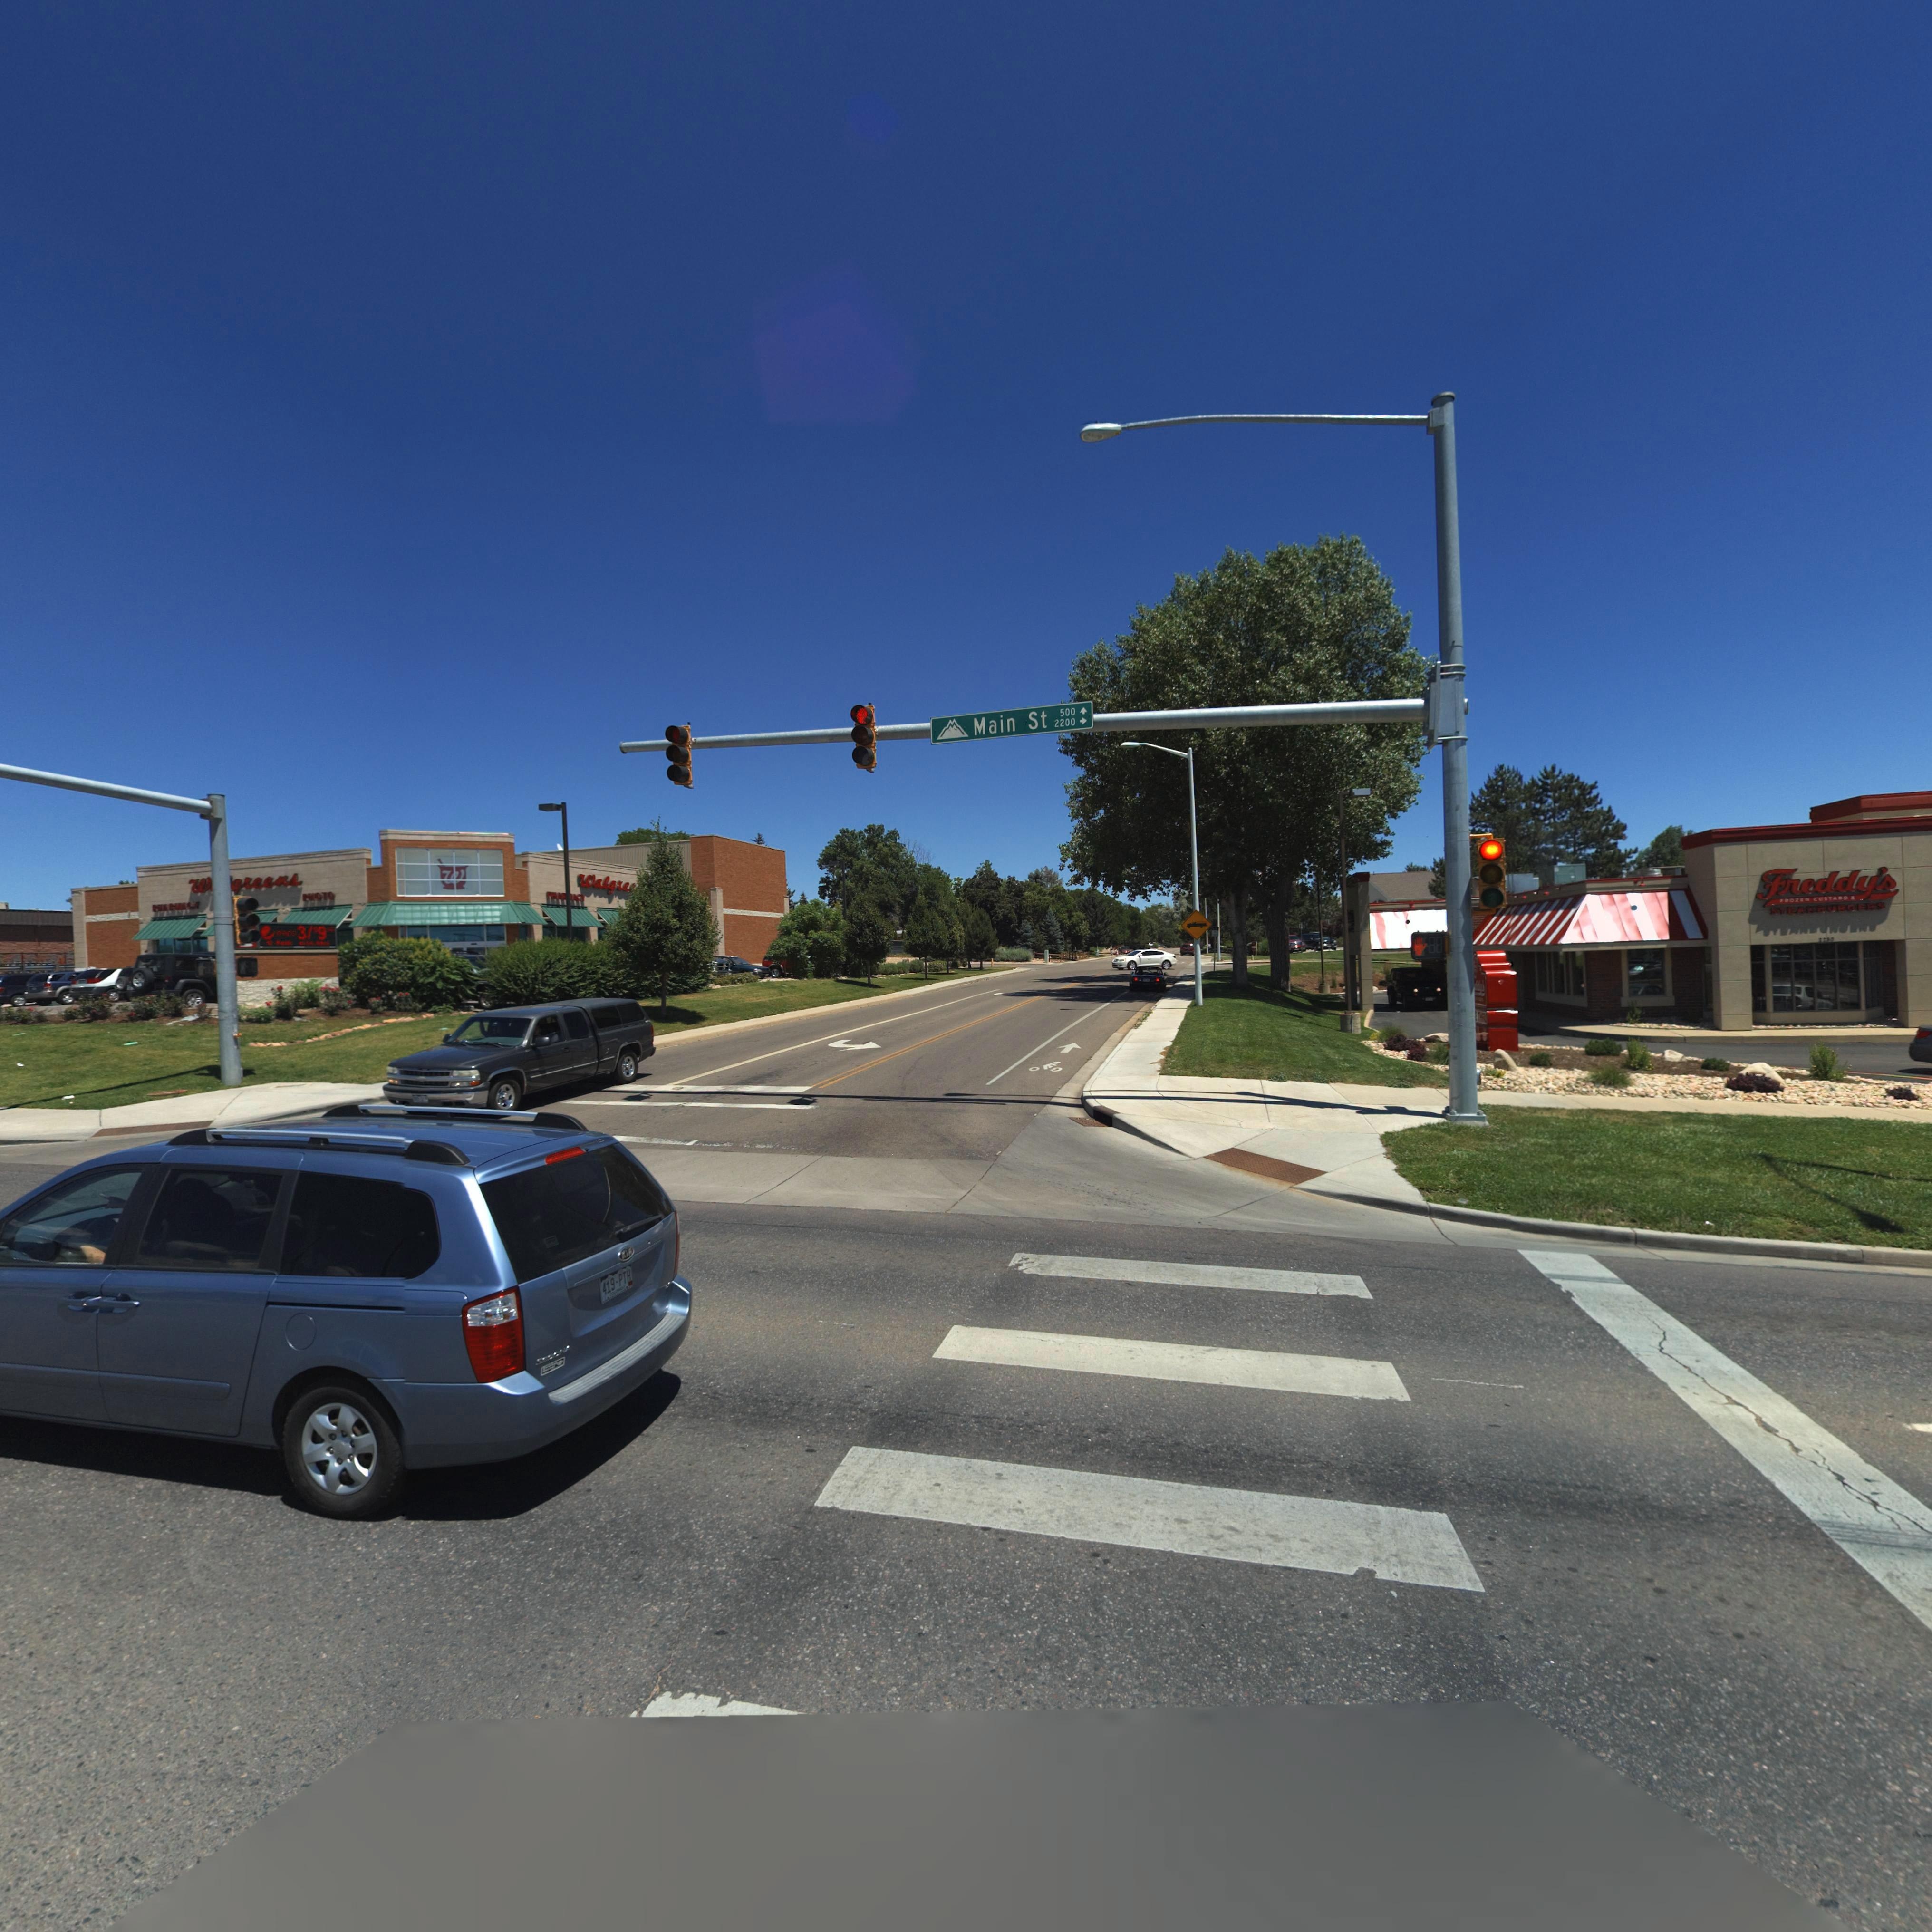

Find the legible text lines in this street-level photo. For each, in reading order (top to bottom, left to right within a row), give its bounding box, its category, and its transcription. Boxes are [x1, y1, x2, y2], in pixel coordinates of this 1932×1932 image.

[973, 709, 1047, 736] StreetName: Main St
[1060, 707, 1076, 717] StreetNumberRange: 500
[1053, 716, 1088, 728] StreetNumberRange: 2200->
[187, 872, 304, 897] BusinessName: W**greens
[577, 873, 631, 895] BusinessName: Walgre
[1755, 865, 1898, 901] BusinessName: Freddy's
[1476, 979, 1485, 995] BusinessName: dy's